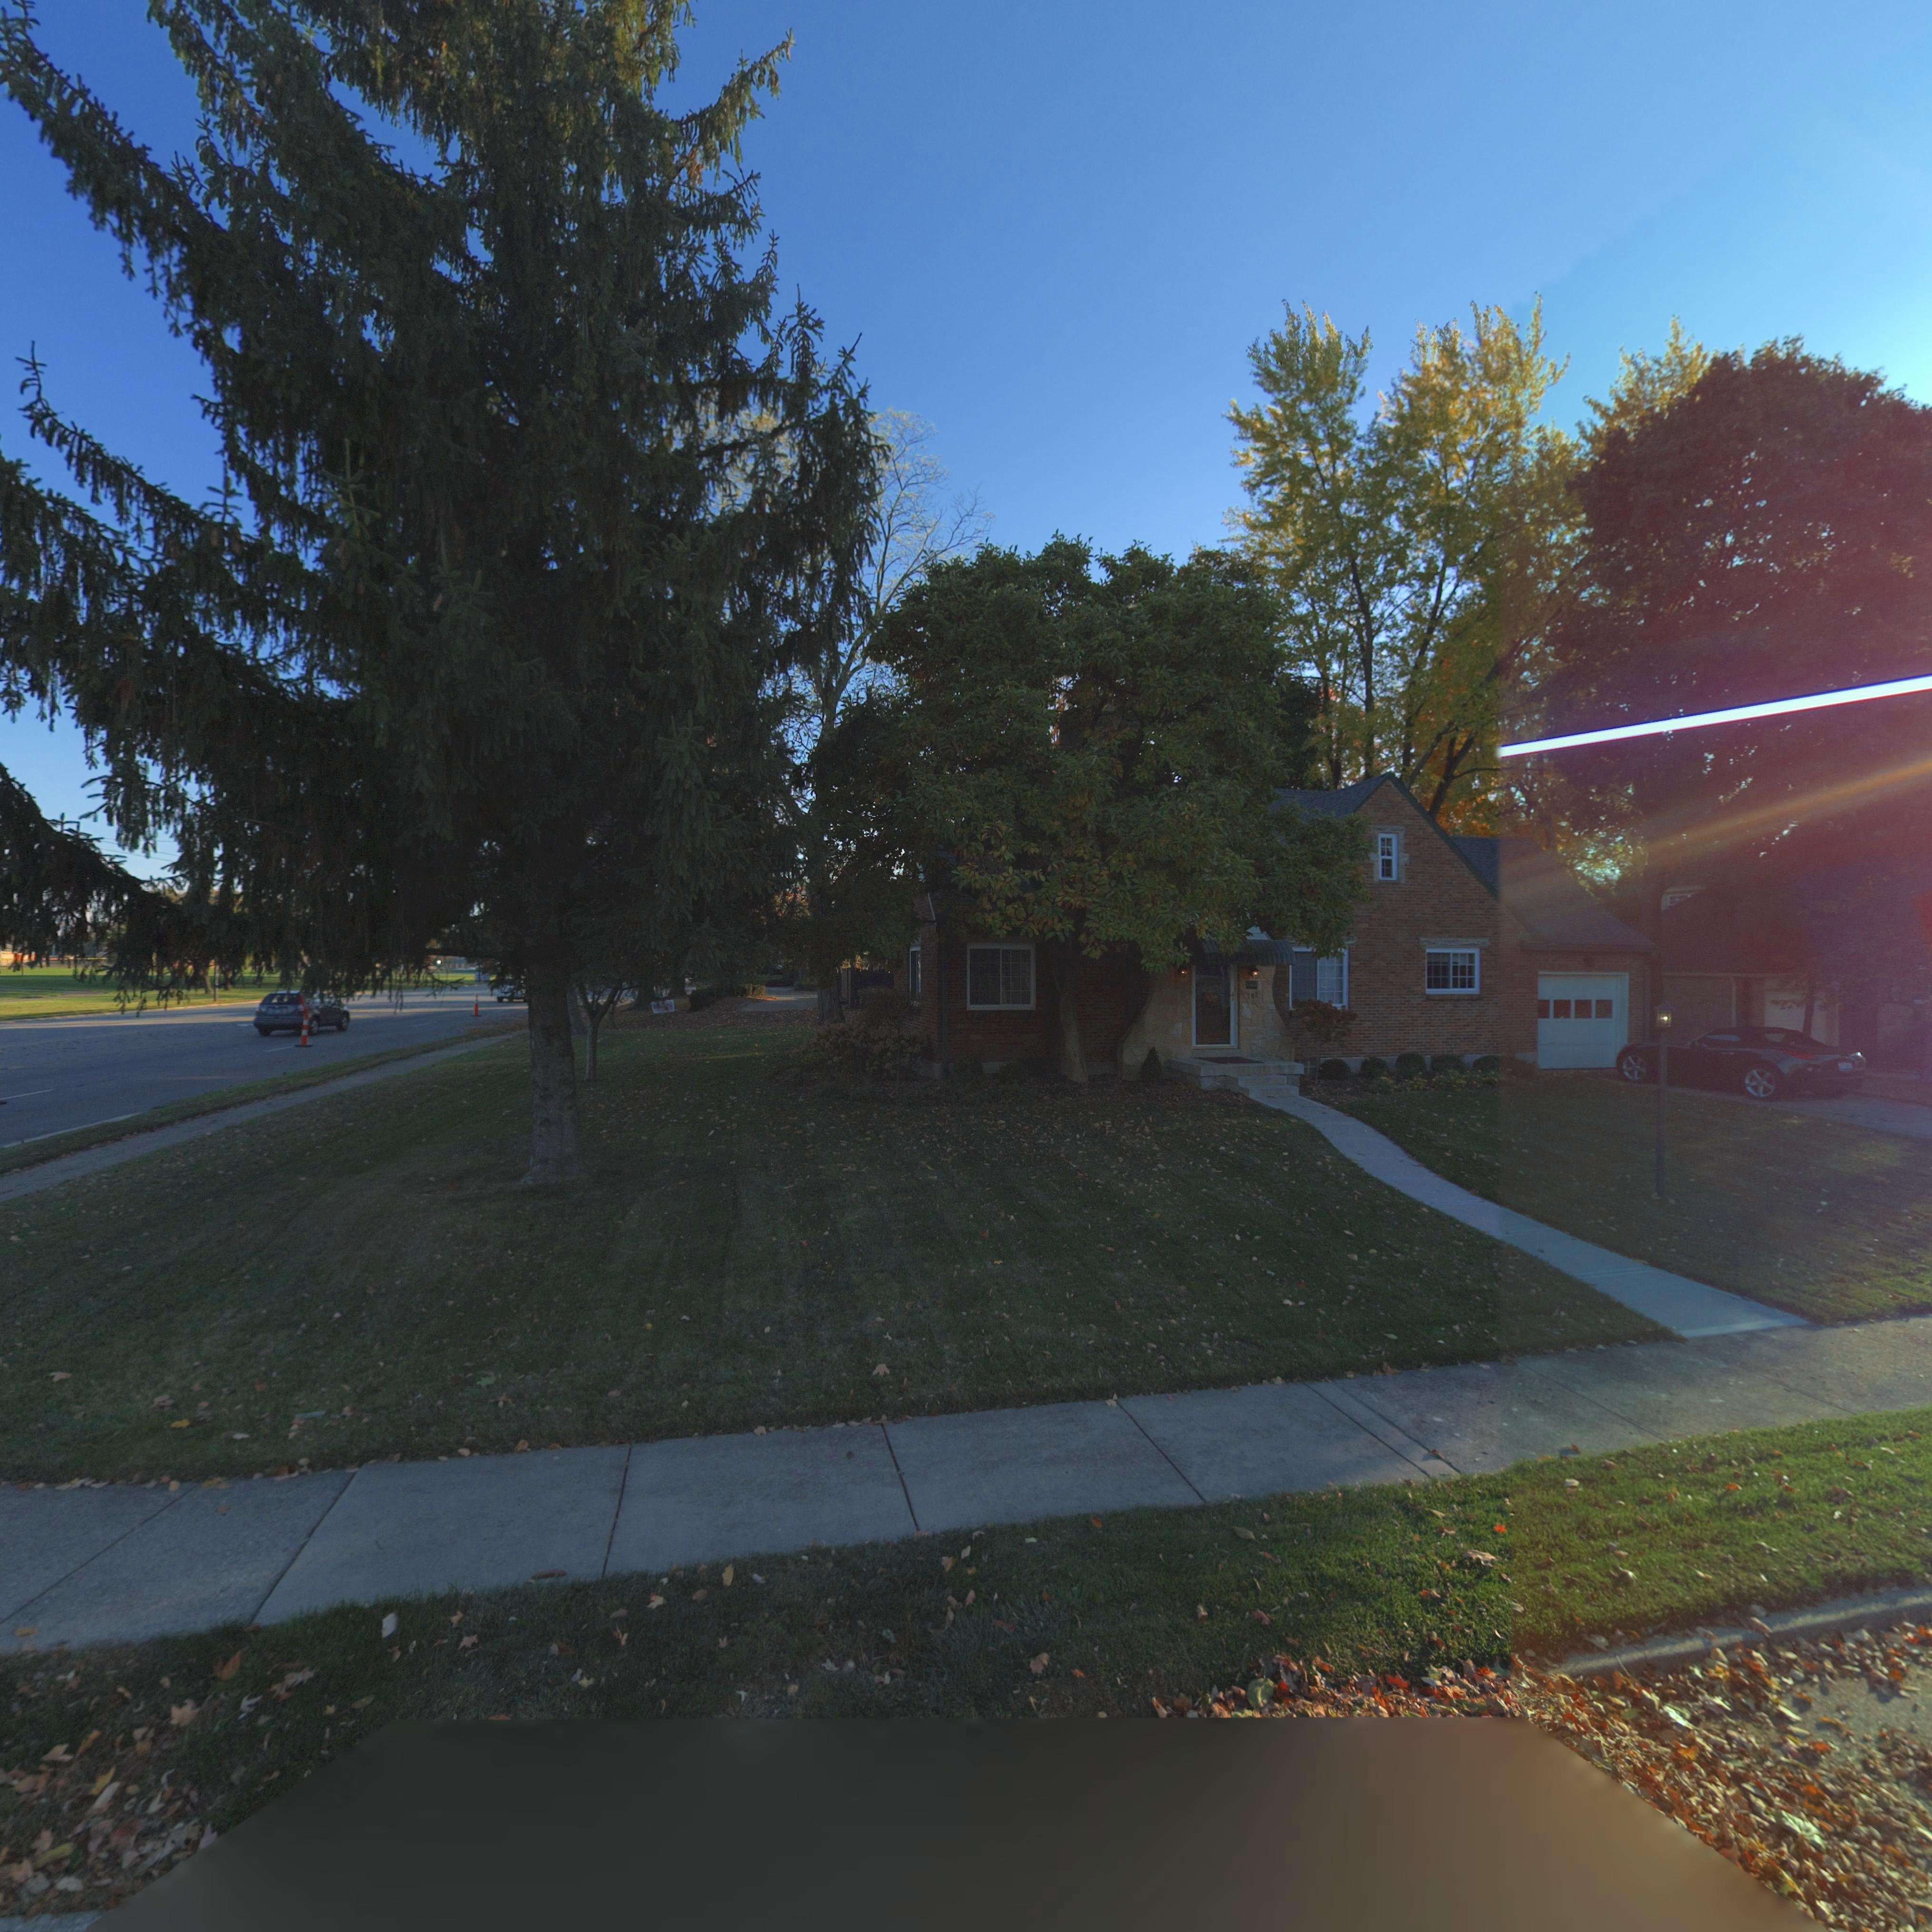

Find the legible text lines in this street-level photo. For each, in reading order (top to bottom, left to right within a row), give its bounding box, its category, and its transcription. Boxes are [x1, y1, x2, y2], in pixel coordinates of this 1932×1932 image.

[1246, 990, 1261, 1001] StreetNumber: *02